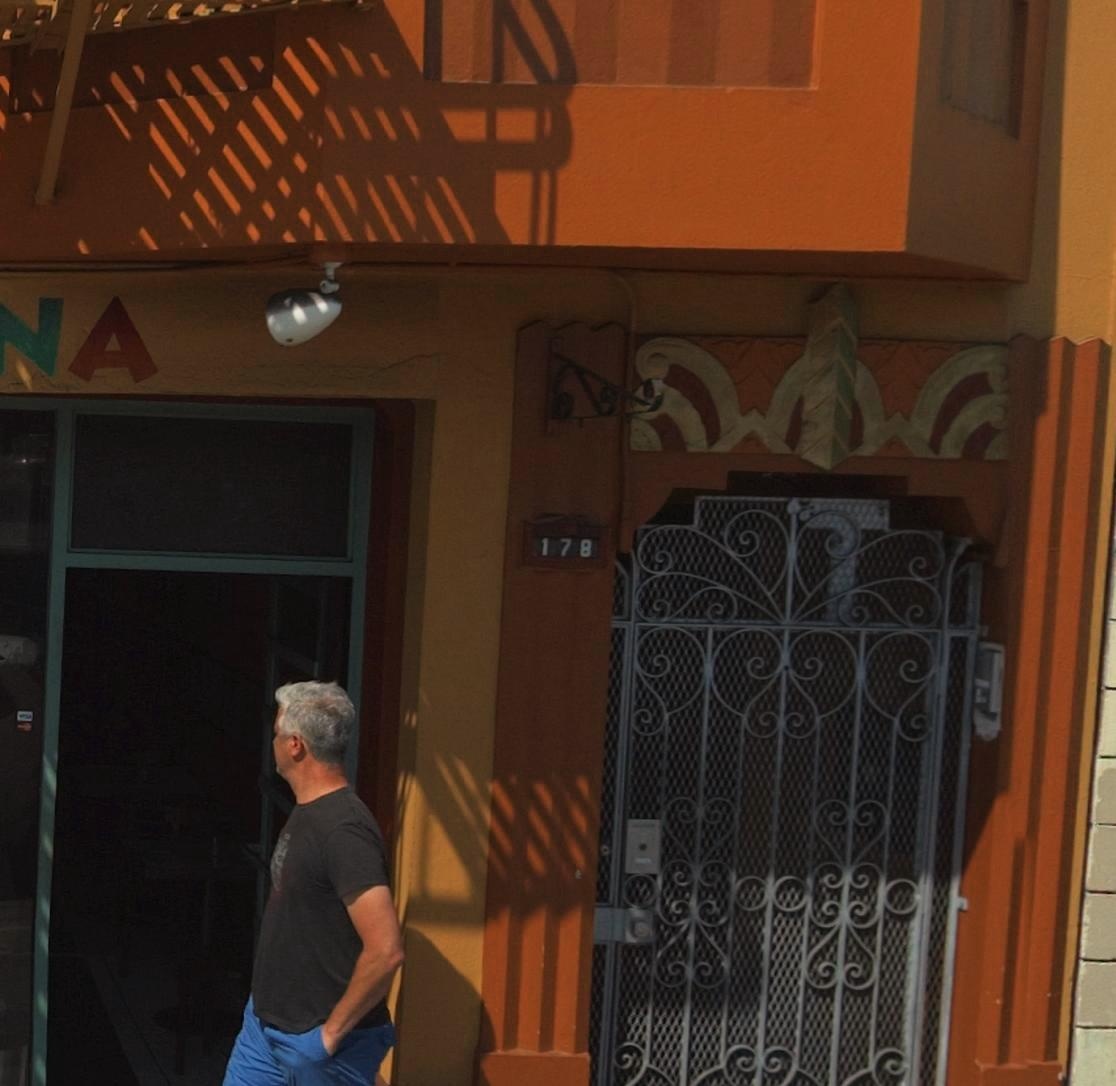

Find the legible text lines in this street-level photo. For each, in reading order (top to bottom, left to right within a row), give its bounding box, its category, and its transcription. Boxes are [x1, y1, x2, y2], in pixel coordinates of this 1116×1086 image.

[60, 287, 164, 391] None: A
[541, 535, 593, 558] StreetNumber: 178